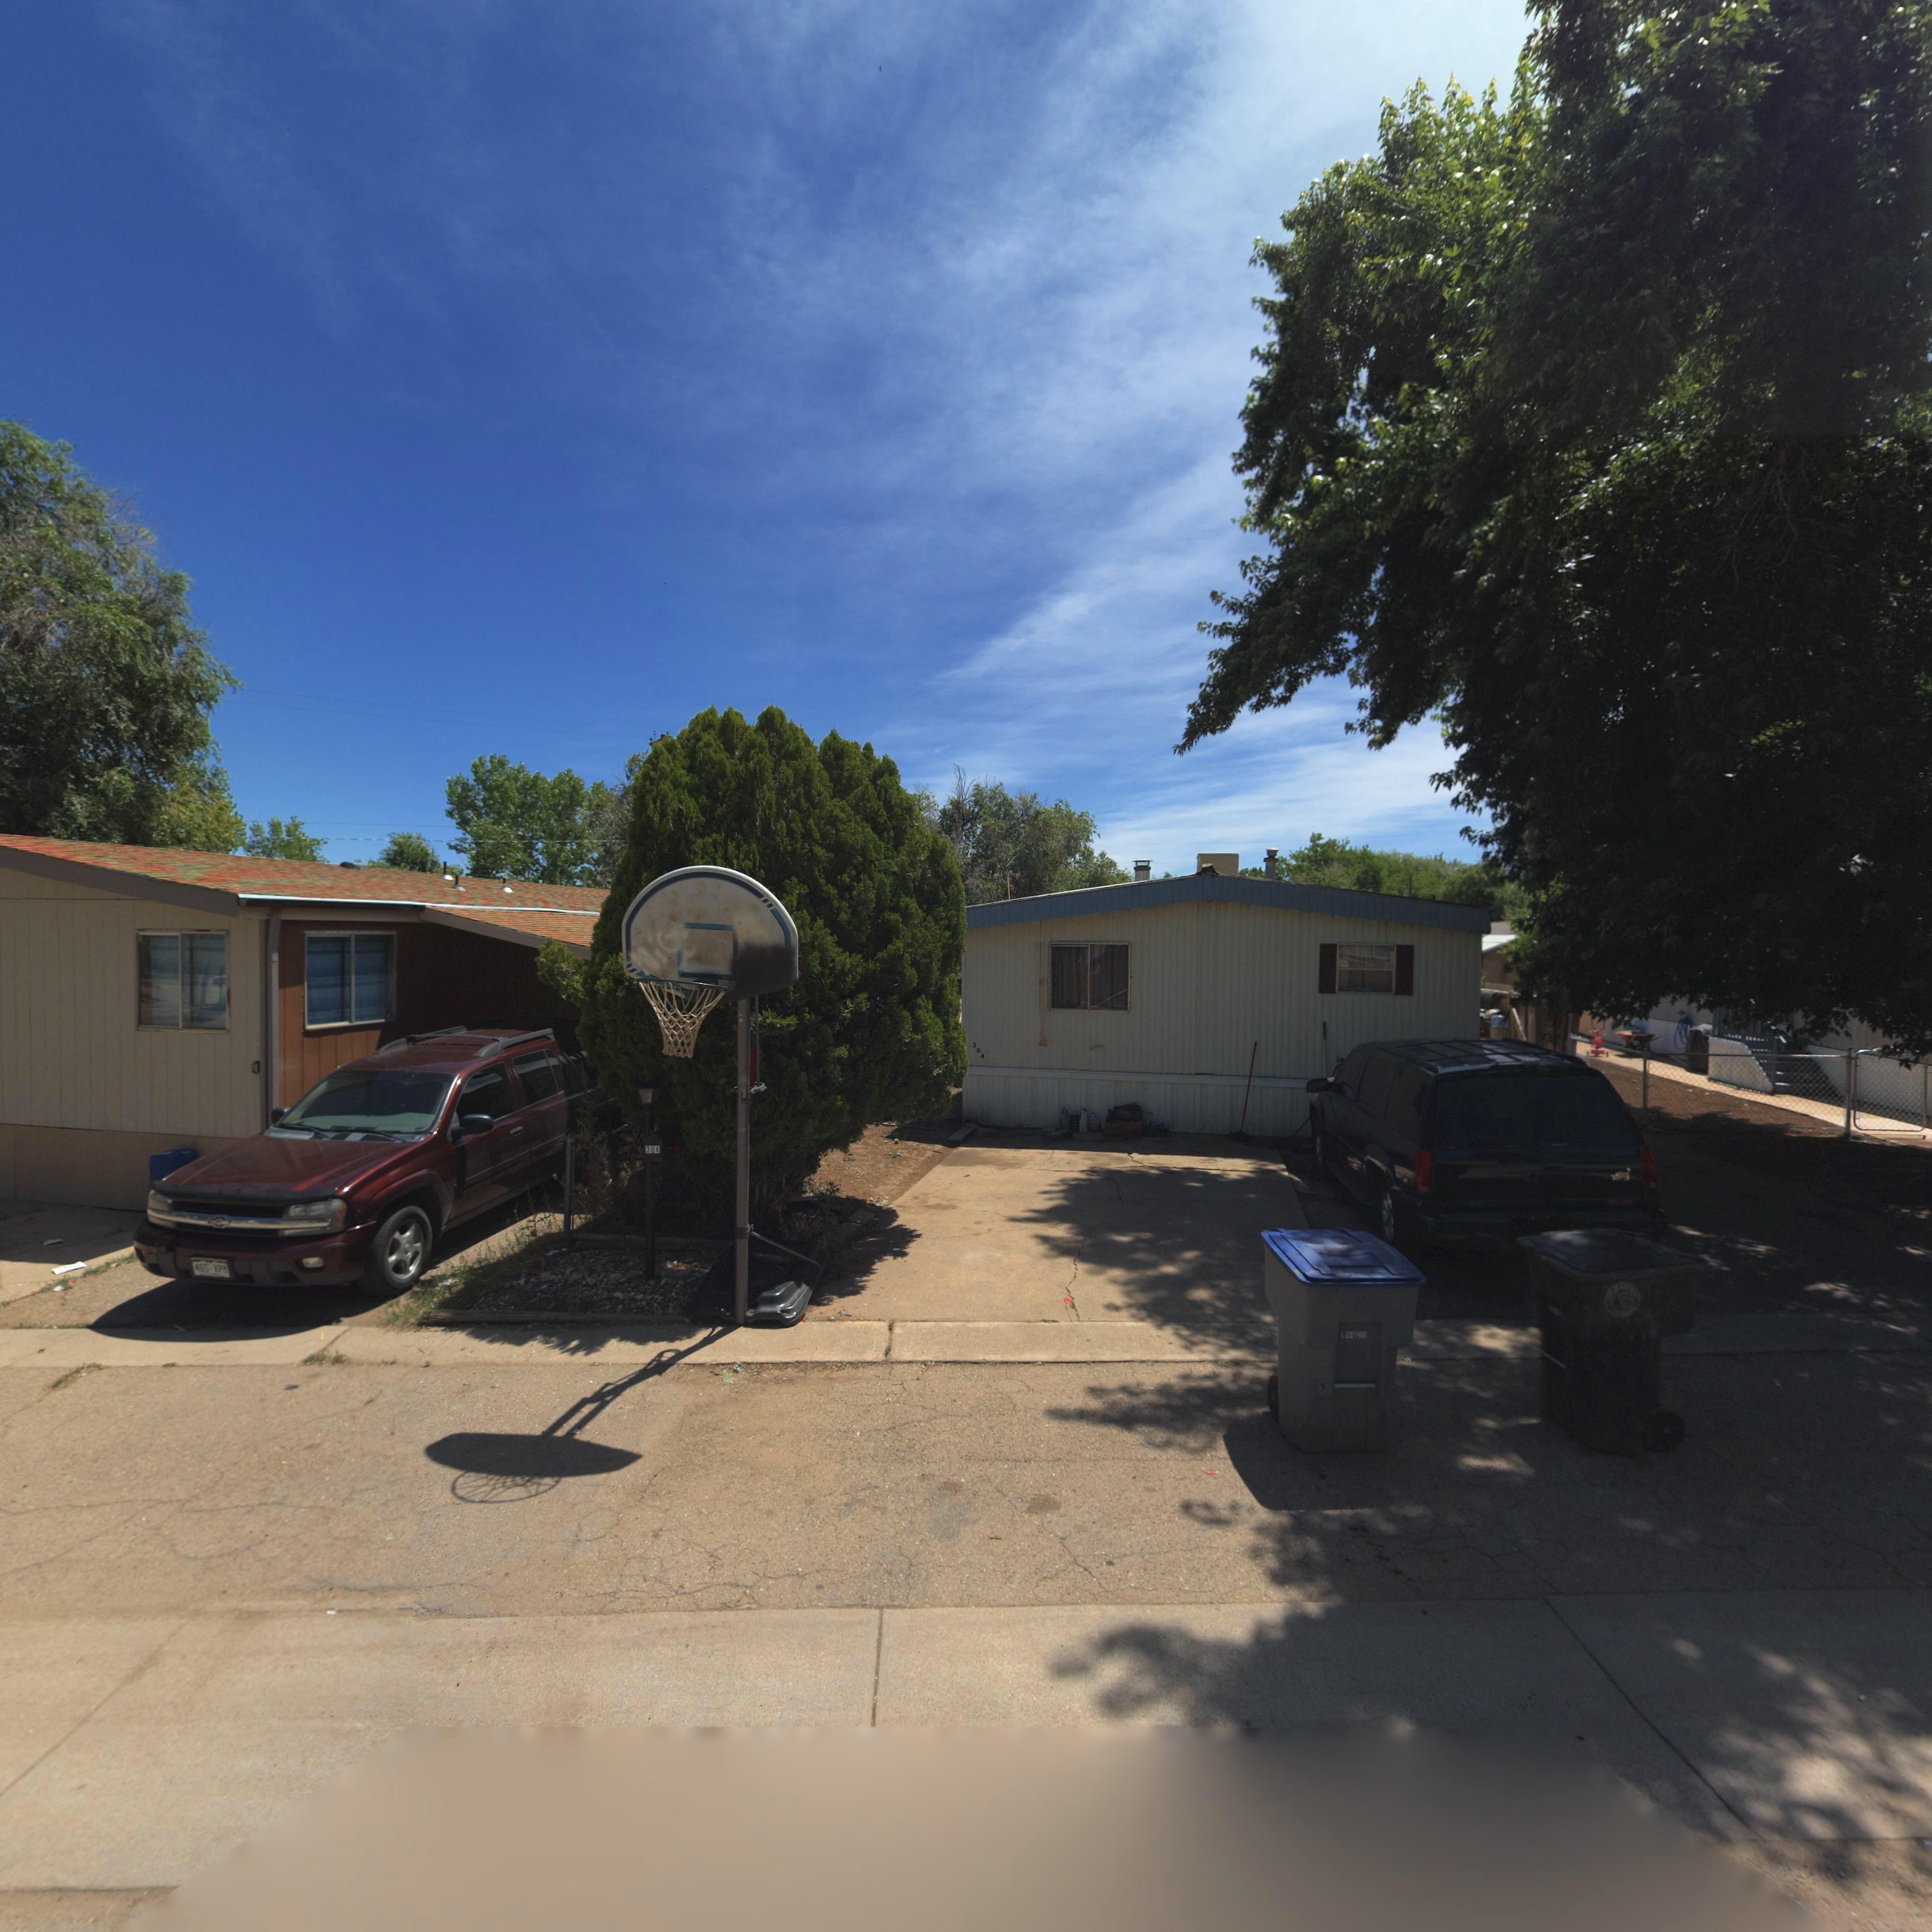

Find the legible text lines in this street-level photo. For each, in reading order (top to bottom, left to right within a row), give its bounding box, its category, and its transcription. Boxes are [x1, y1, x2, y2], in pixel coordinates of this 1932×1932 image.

[972, 1042, 985, 1060] StreetNumber: 304
[646, 1145, 659, 1153] StreetNumber: 304